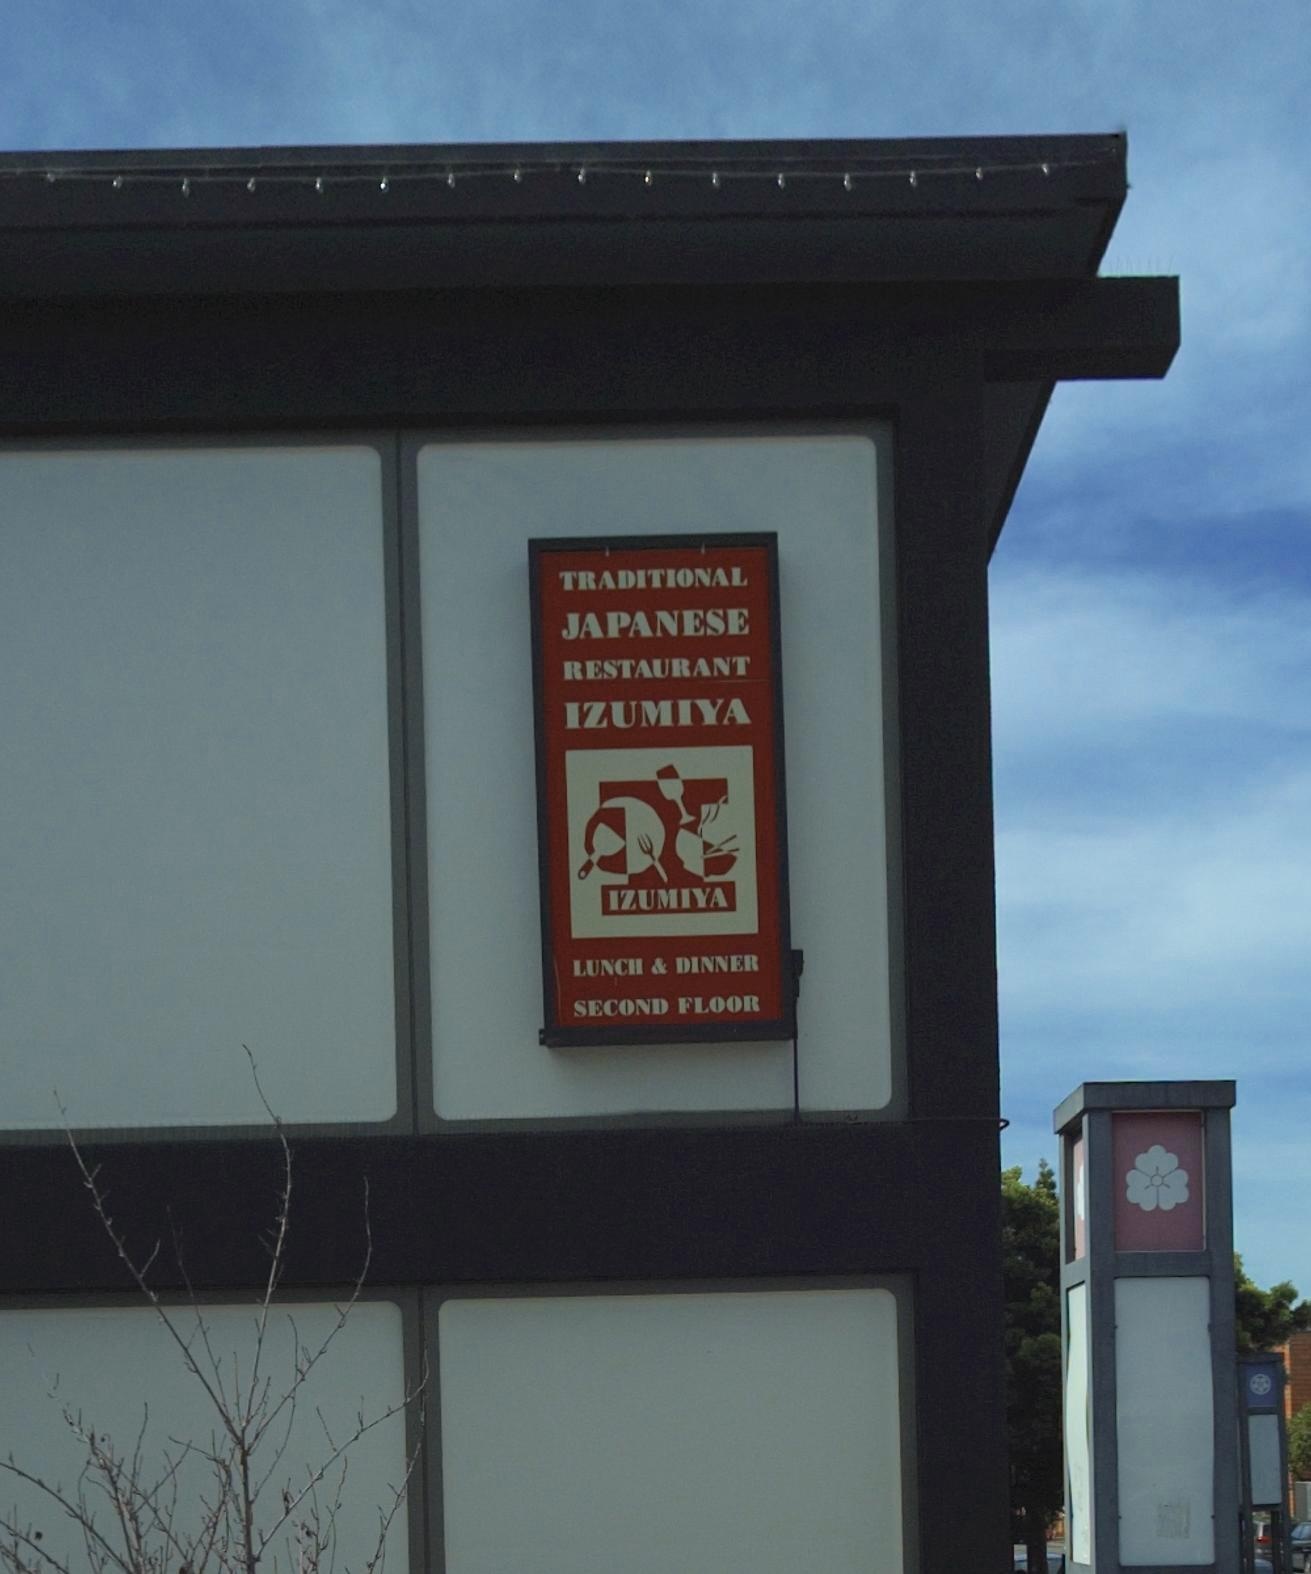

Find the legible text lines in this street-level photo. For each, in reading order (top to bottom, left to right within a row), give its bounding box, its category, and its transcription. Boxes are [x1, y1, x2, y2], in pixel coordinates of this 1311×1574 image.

[555, 565, 751, 593] None: TRADITIONAL
[558, 605, 751, 644] None: JAPANESE
[560, 653, 754, 682] None: RESTAURANT
[561, 695, 755, 732] BusinessName: IZUMIYA
[606, 885, 732, 912] BusinessName: IZUMIYA
[569, 952, 762, 980] None: LUNCH & DINNER
[571, 992, 763, 1020] None: SECOND FLOOR